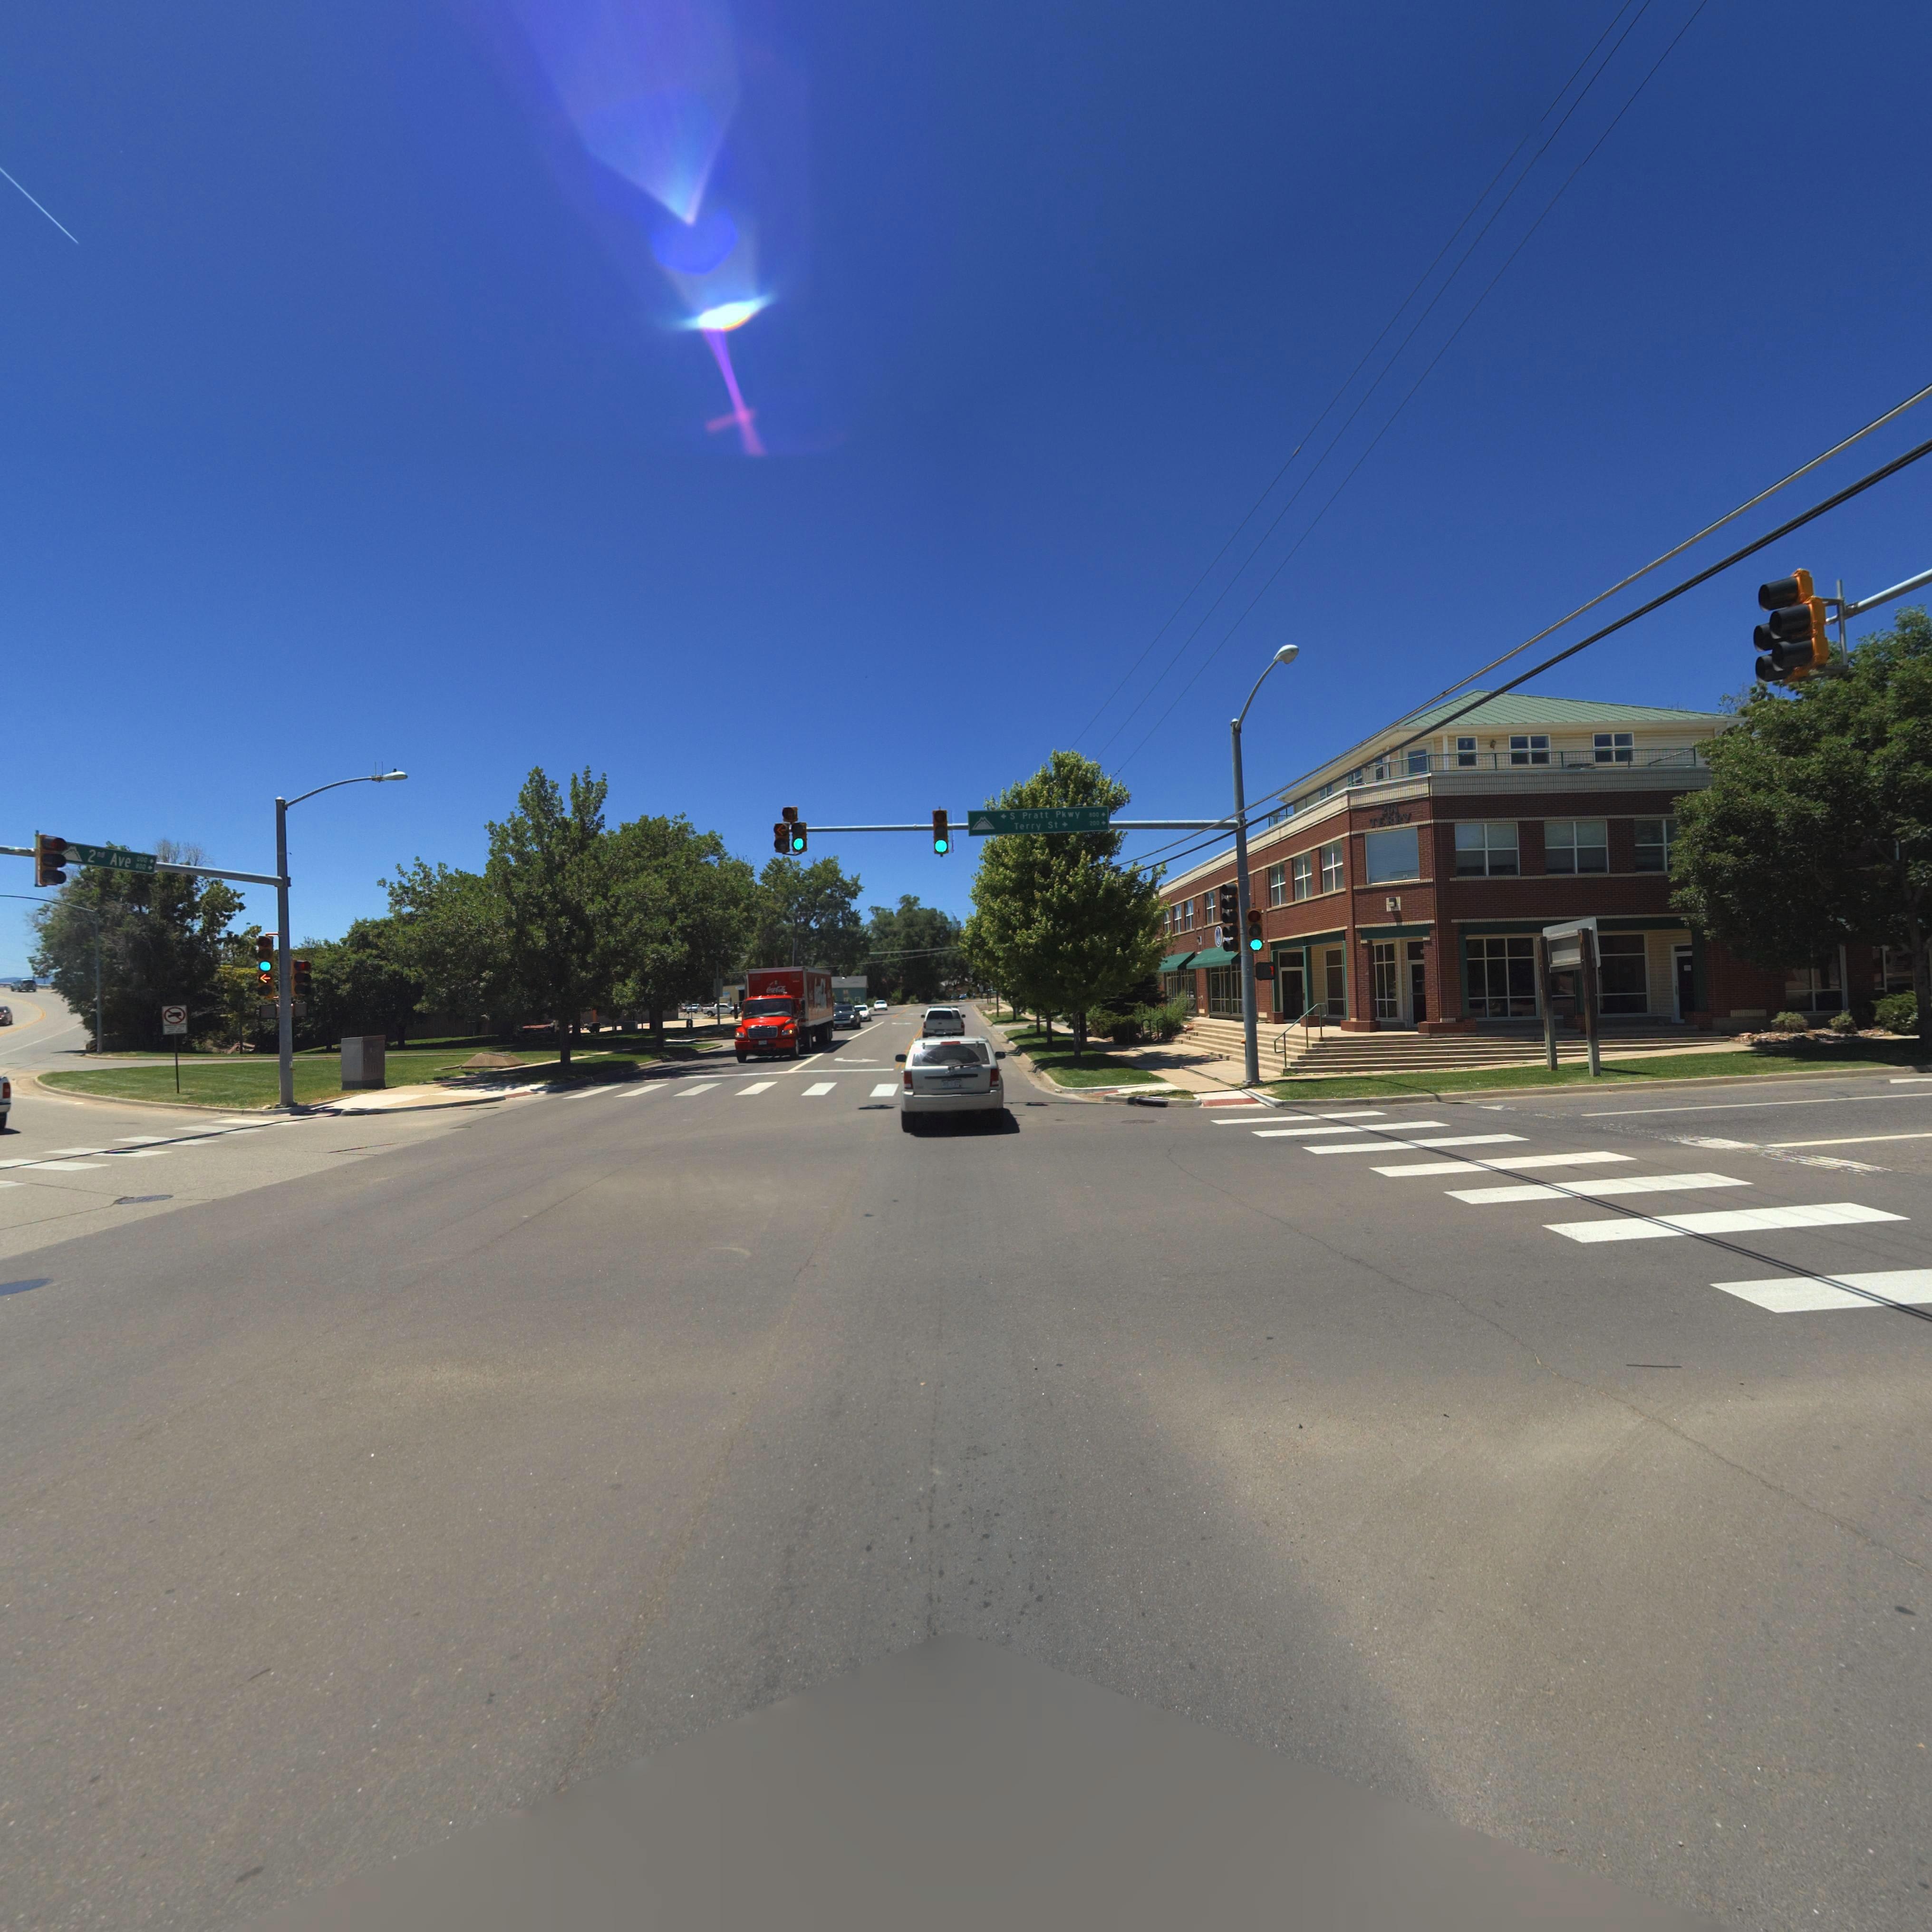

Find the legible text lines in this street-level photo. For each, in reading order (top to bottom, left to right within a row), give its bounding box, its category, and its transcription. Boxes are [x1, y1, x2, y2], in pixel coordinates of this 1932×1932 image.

[1381, 803, 1398, 815] StreetNumber: 201
[1014, 821, 1058, 831] StreetName: Terry St
[1010, 810, 1080, 820] StreetName: S Pratt Pkwy
[1089, 811, 1099, 817] StreetNumberRange: 800
[1089, 820, 1106, 826] StreetNumberRange: 200->
[1369, 812, 1411, 828] StreetName: TERRY
[87, 849, 131, 868] StreetName: 2nd Ave
[135, 855, 148, 863] StreetNumberRange: 200
[135, 862, 153, 870] StreetNumberRange: 800->
[1420, 949, 1422, 954] StreetNumber: 1